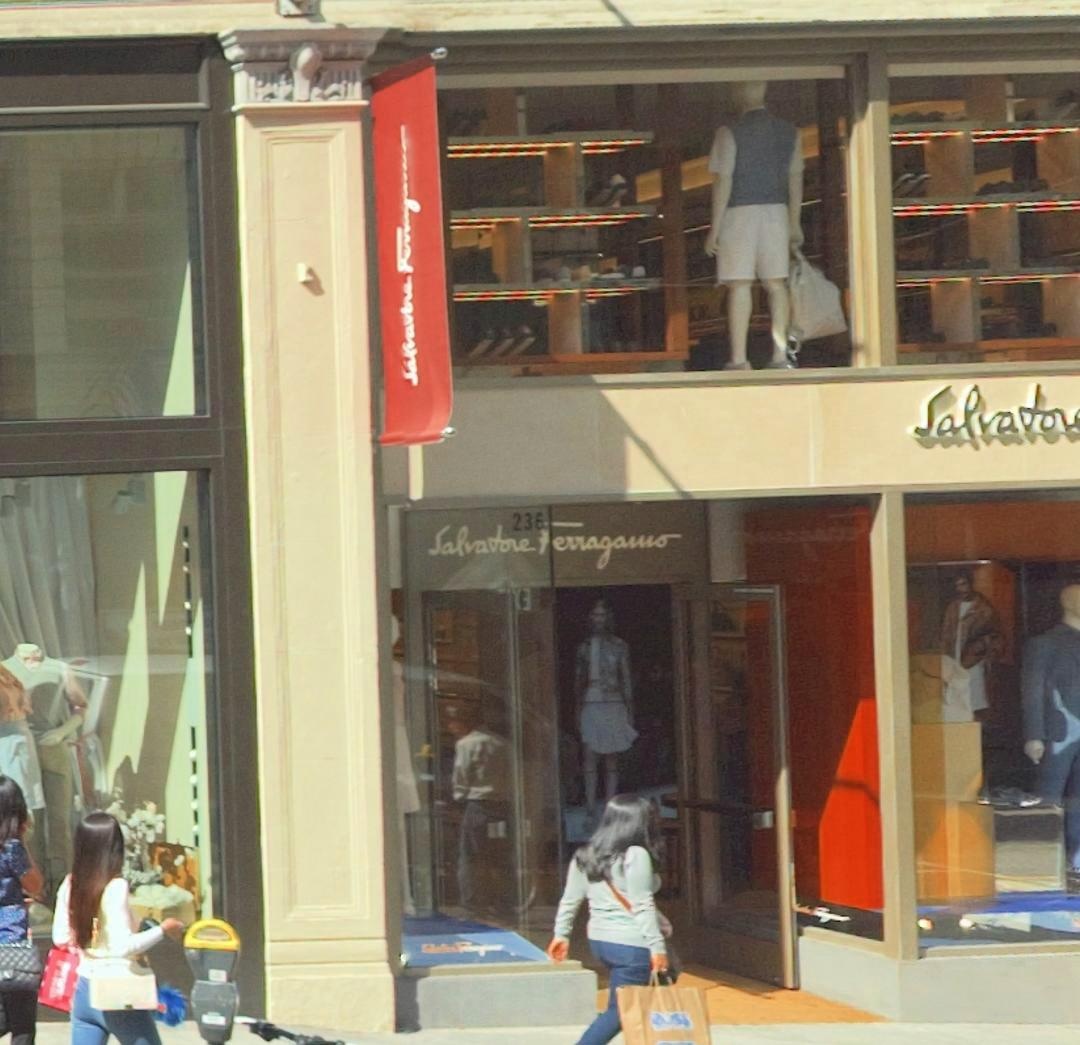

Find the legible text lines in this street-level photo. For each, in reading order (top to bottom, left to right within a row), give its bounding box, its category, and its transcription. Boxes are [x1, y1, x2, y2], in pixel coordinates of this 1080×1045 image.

[905, 380, 1068, 440] BusinessName: Salvator
[511, 510, 547, 531] StreetNumber: 236
[419, 517, 688, 571] BusinessName: Salvatore Ferraga**o